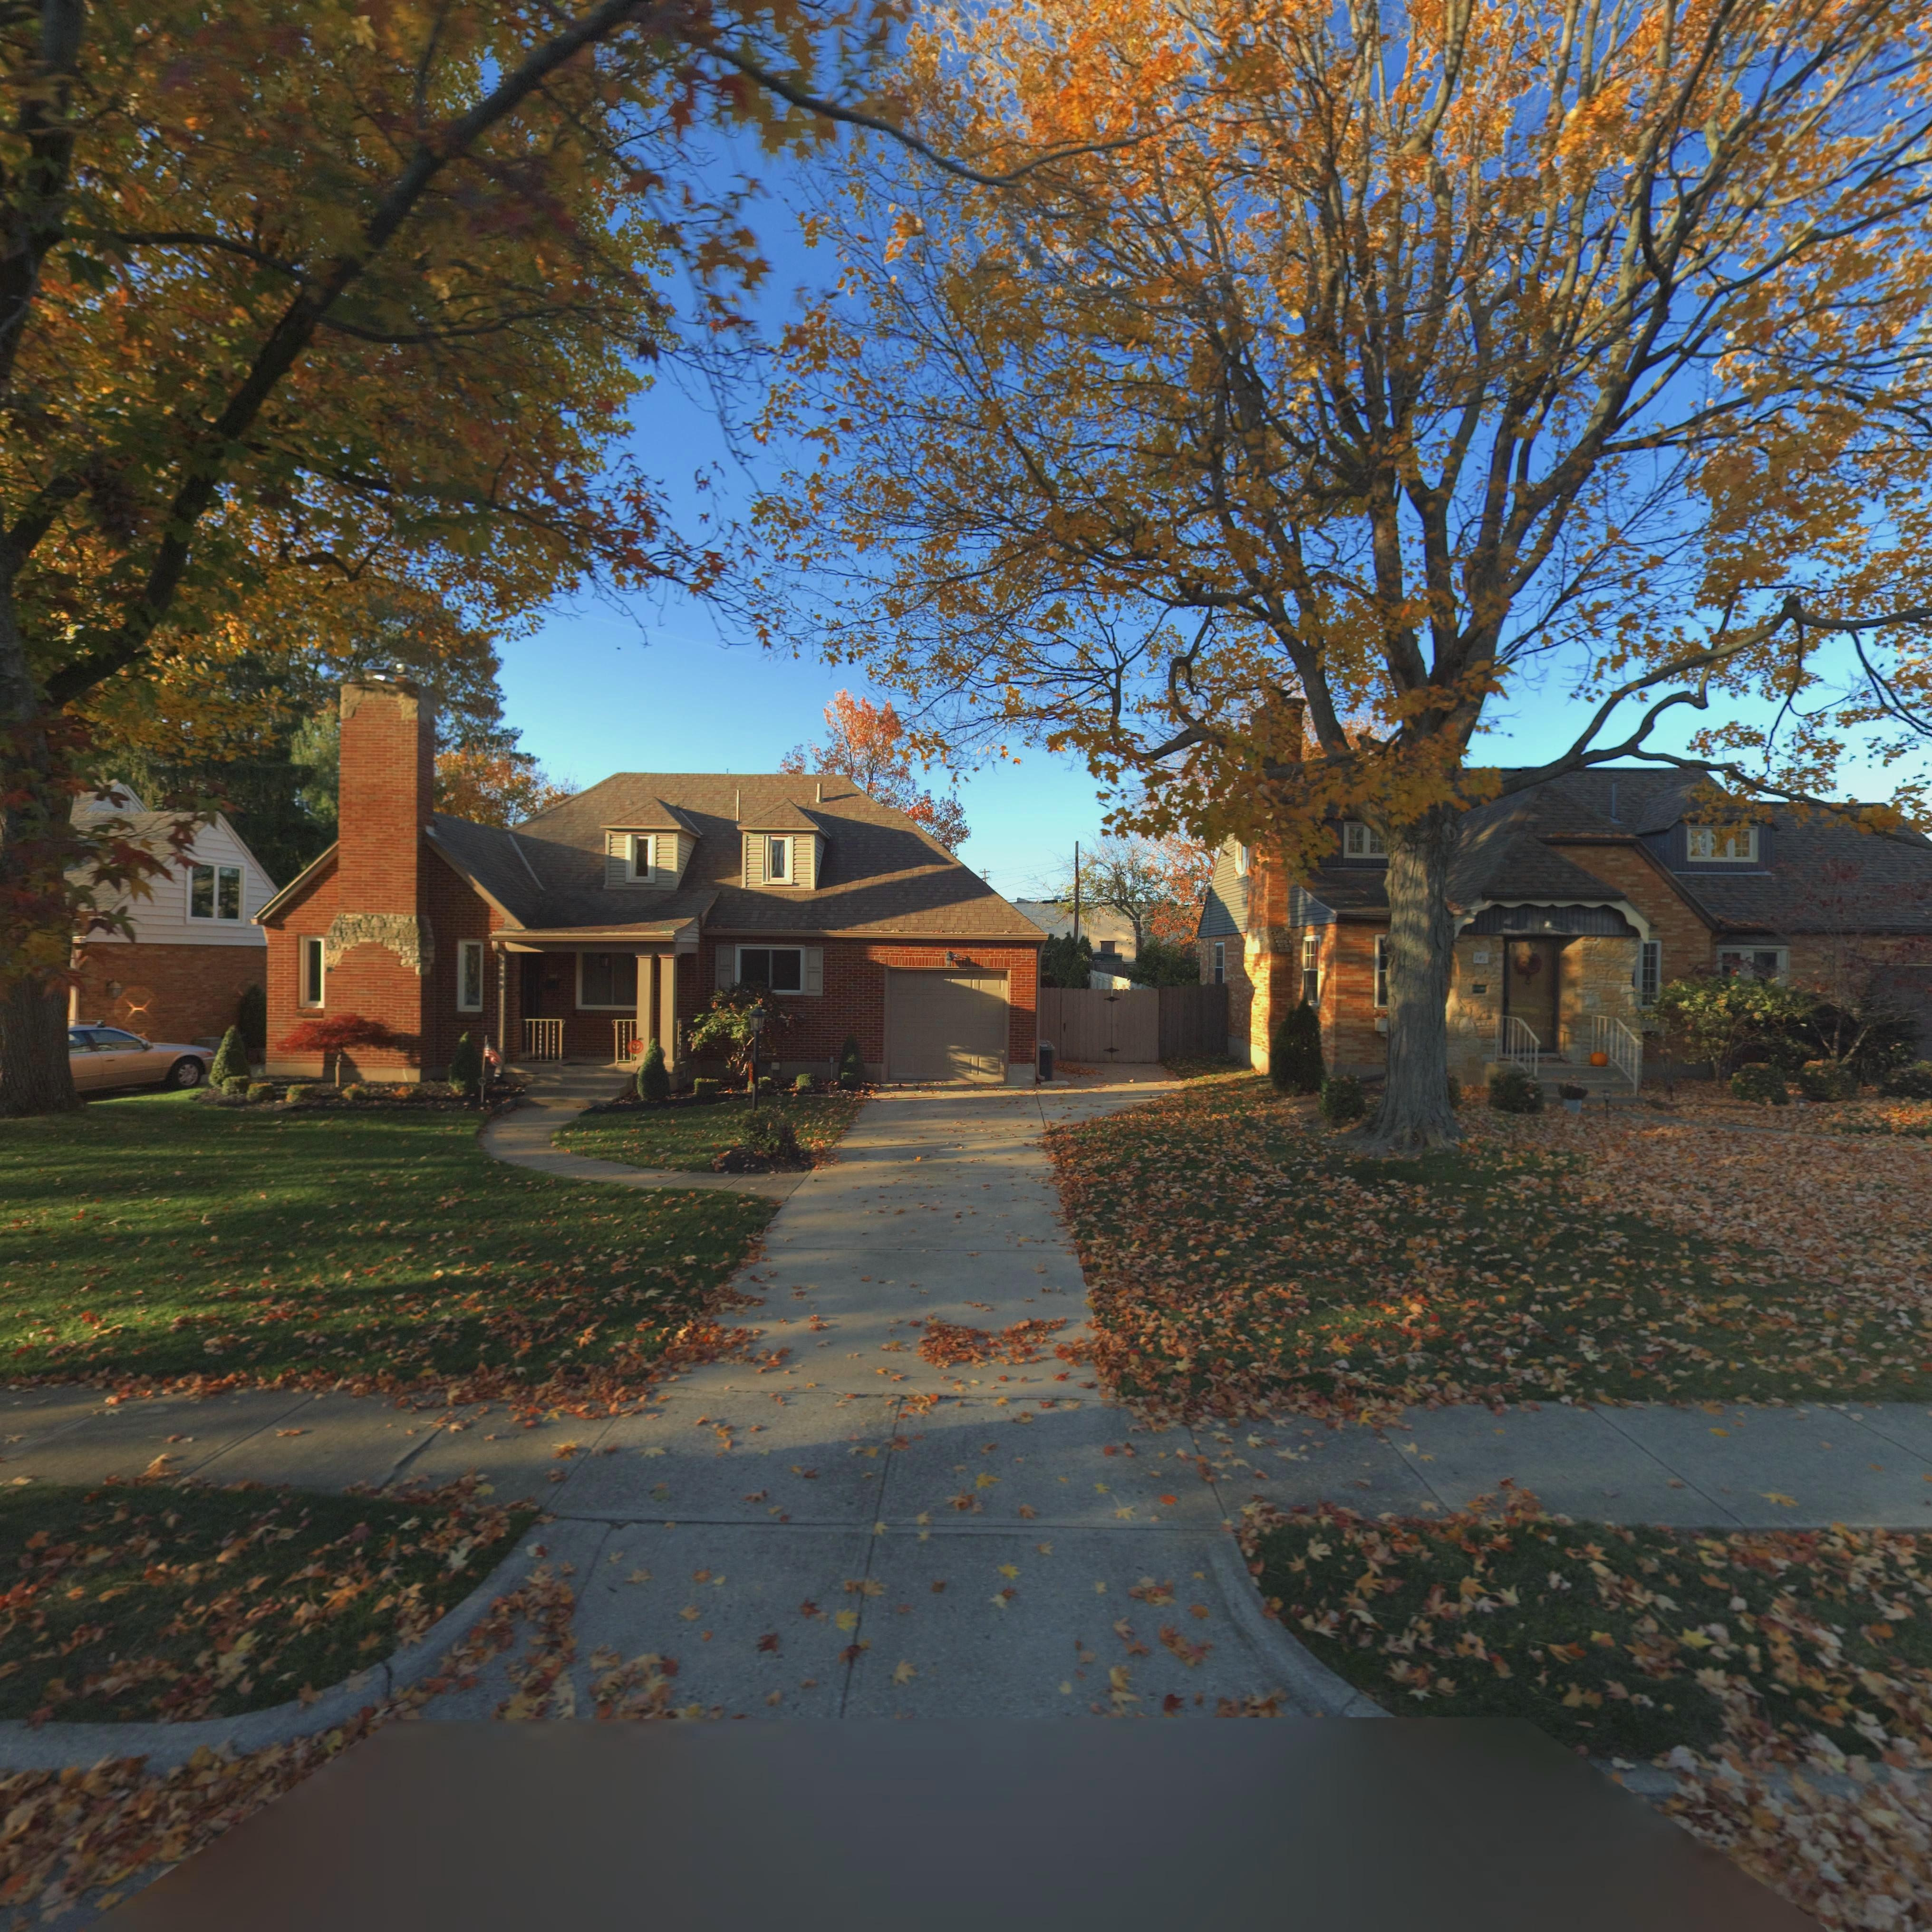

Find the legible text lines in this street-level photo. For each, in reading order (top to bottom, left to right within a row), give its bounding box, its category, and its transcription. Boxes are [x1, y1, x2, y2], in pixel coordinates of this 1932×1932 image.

[1474, 954, 1487, 962] StreetNumber: 14*